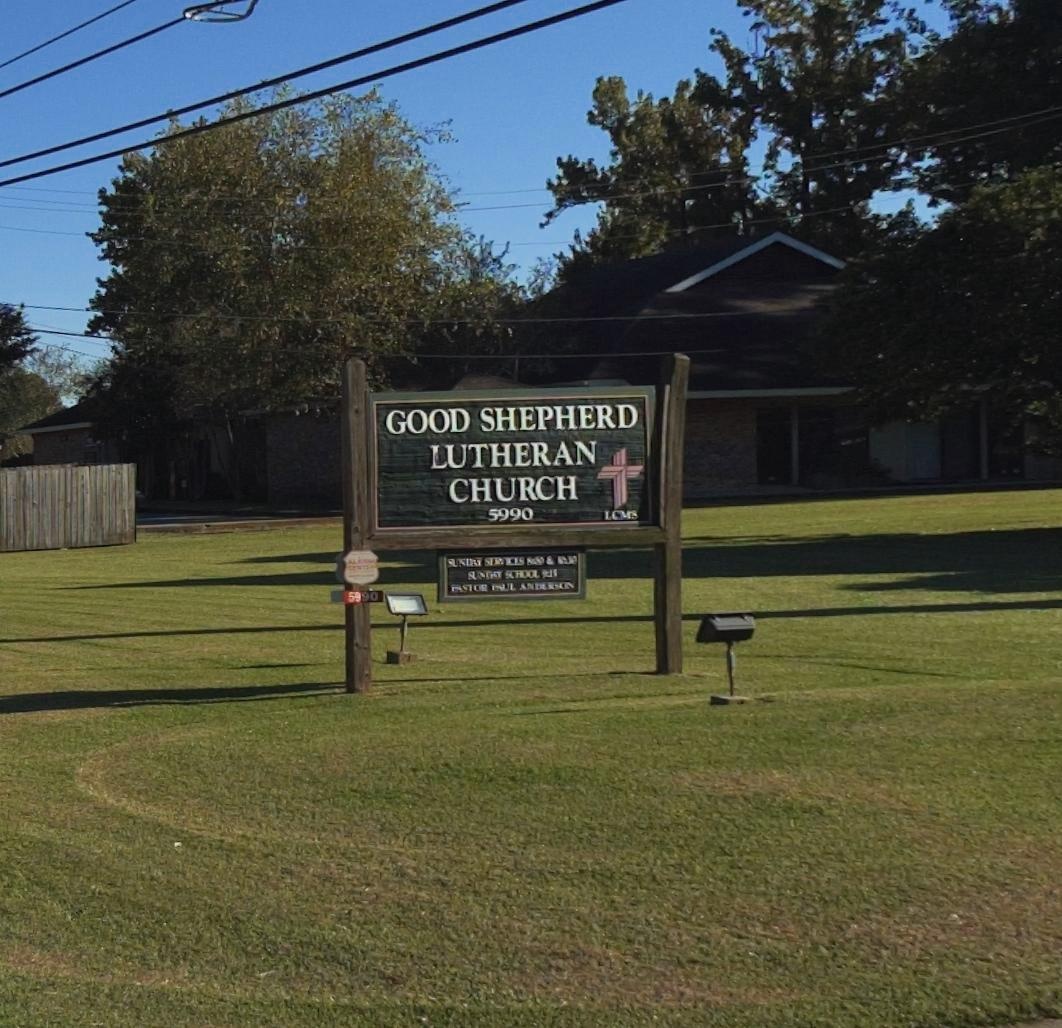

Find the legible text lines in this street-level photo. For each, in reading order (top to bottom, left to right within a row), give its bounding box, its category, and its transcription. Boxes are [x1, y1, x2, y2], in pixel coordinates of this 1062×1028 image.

[384, 402, 641, 438] BusinessName: GOOD SHEPHERD
[425, 438, 600, 472] BusinessName: LUTHERAN
[446, 473, 581, 507] BusinessName: CHURCH
[486, 506, 535, 523] StreetNumber: 5990
[601, 507, 640, 523] None: LCMS
[346, 590, 380, 605] StreetNumber: 5990